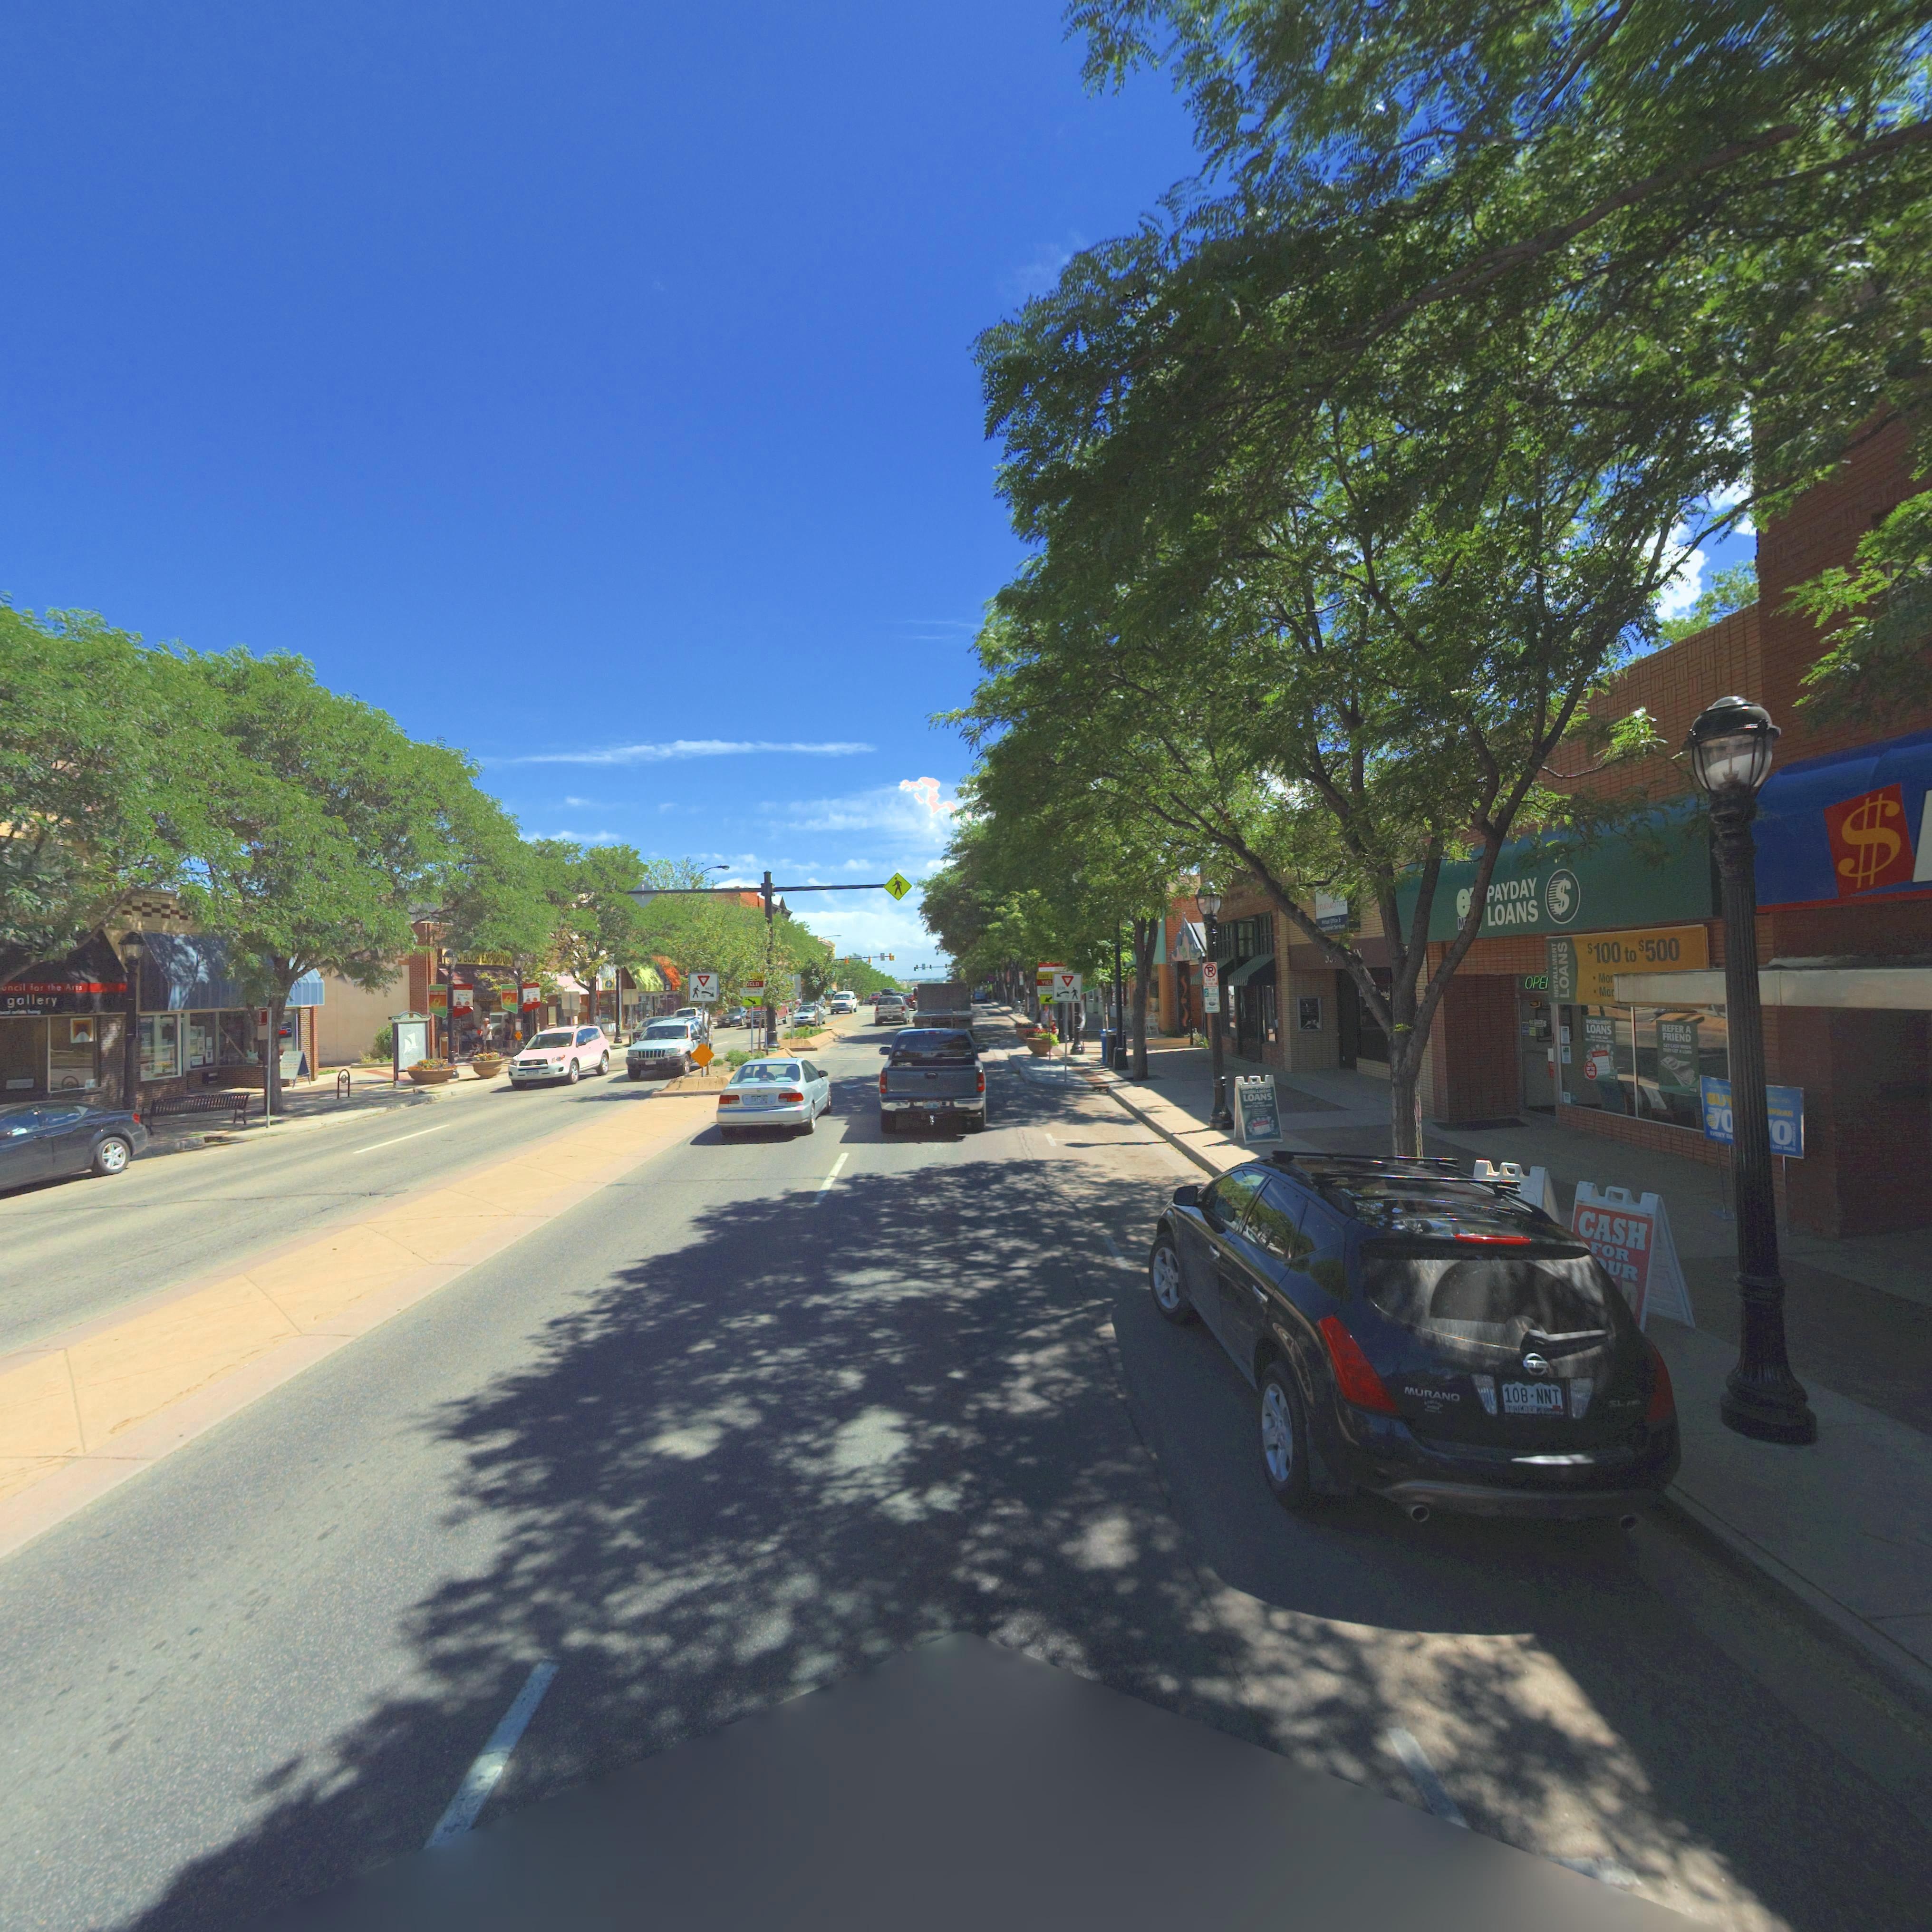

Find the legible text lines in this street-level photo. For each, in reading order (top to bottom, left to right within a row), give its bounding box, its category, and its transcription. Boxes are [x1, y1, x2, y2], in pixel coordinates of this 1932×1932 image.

[1456, 888, 1470, 918] BusinessName: e
[1458, 917, 1467, 929] BusinessName: M
[456, 950, 506, 965] BusinessName: D BOOK EMPORIU
[1, 983, 83, 991] BusinessName: uncil for the Arts